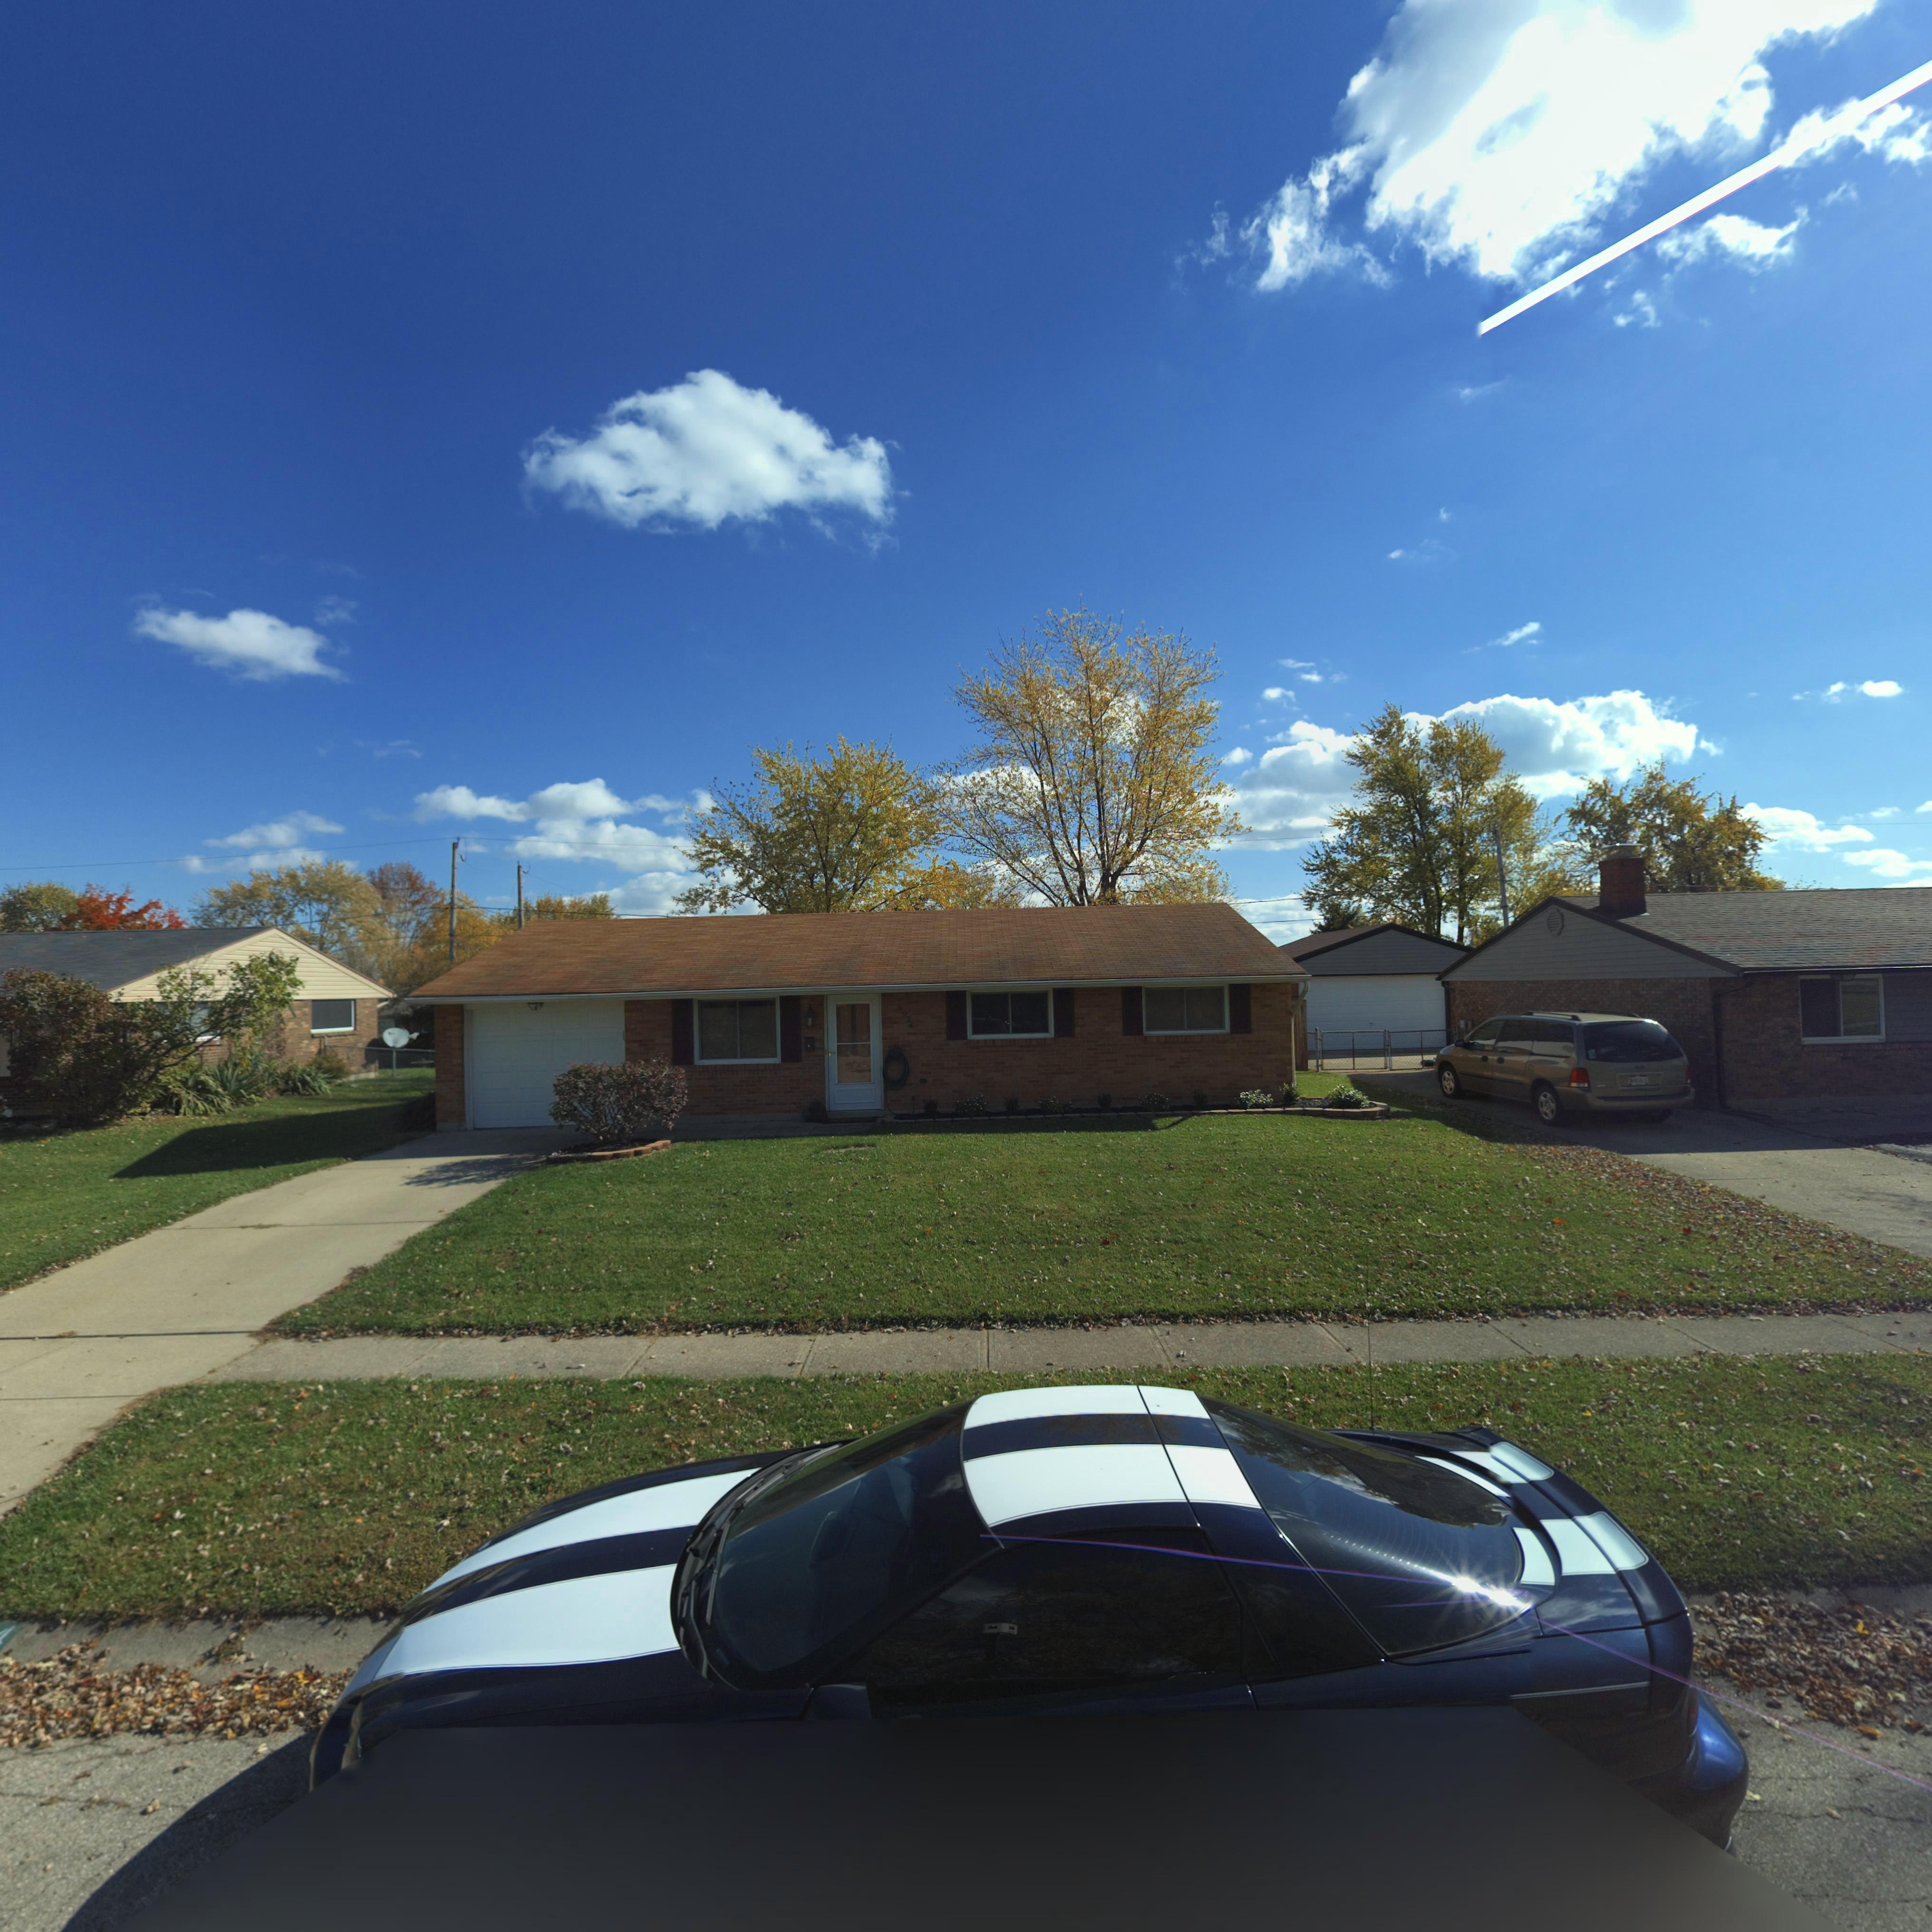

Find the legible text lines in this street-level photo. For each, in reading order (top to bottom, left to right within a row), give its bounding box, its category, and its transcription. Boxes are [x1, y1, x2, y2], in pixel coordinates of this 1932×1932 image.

[897, 1003, 914, 1030] StreetNumber: 6924